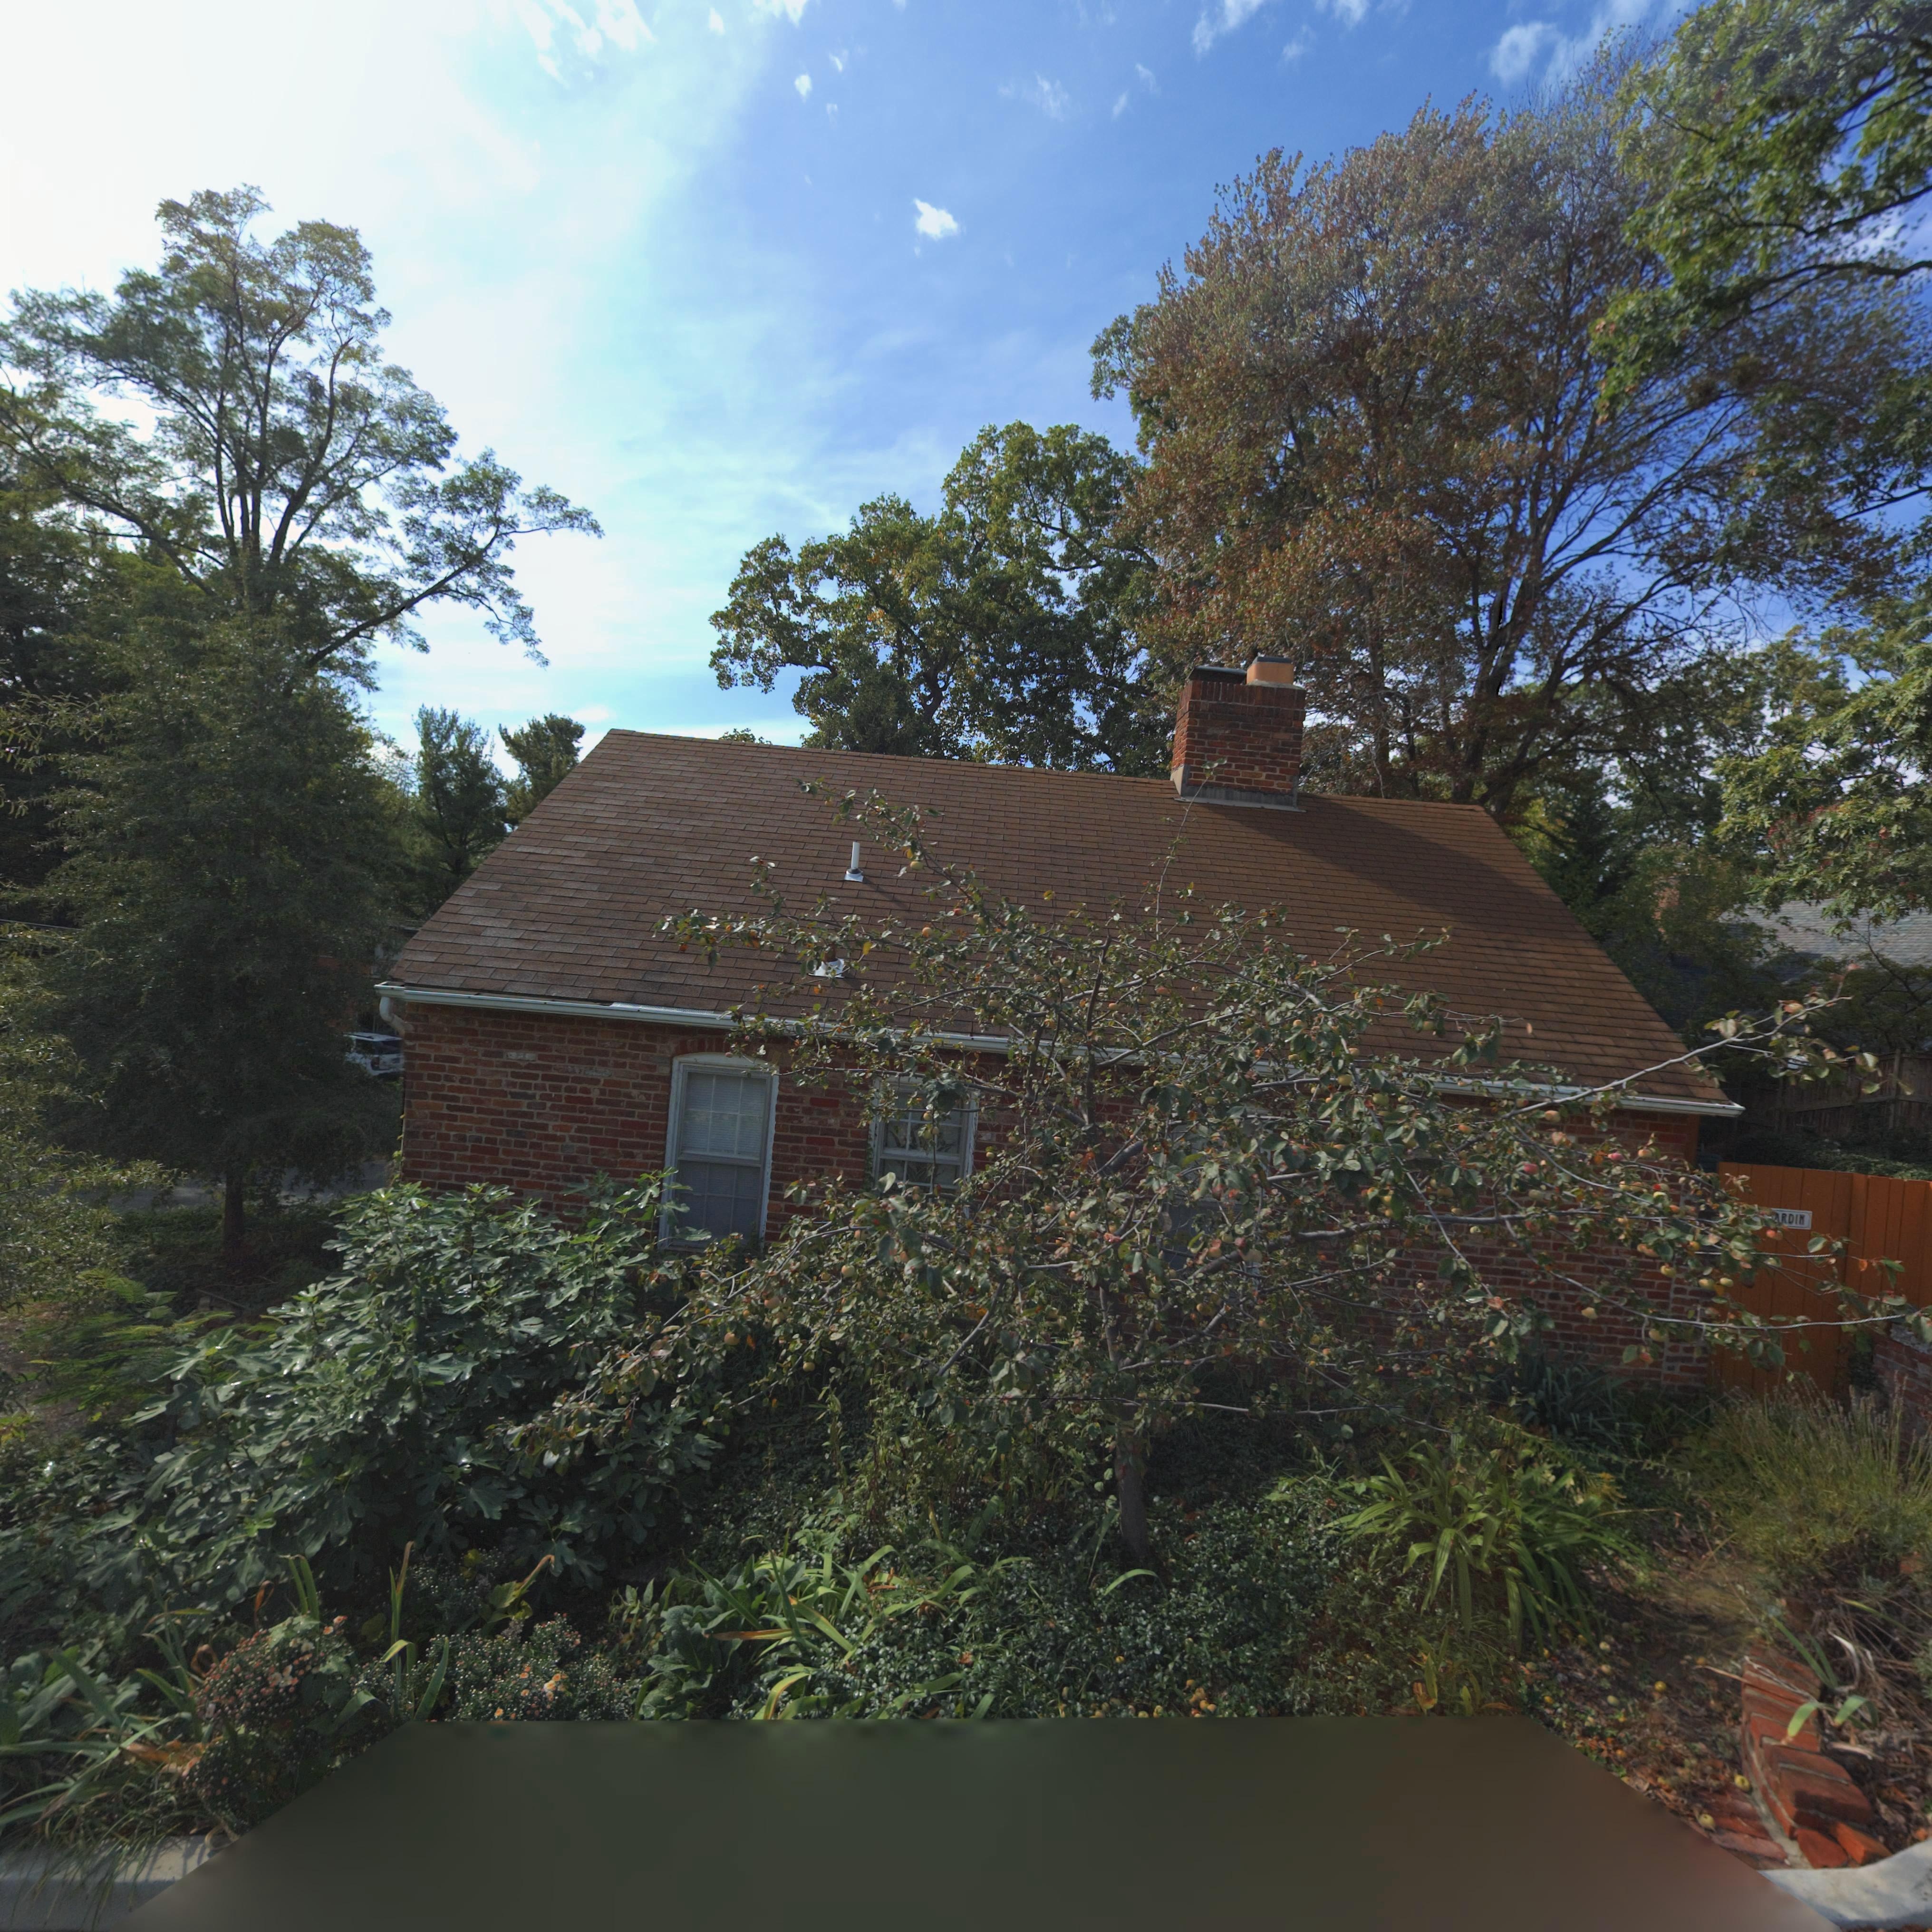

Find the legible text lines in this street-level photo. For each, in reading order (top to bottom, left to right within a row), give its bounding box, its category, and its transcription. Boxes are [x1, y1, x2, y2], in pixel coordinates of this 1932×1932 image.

[1779, 1211, 1807, 1227] StreetNumber: RDIN